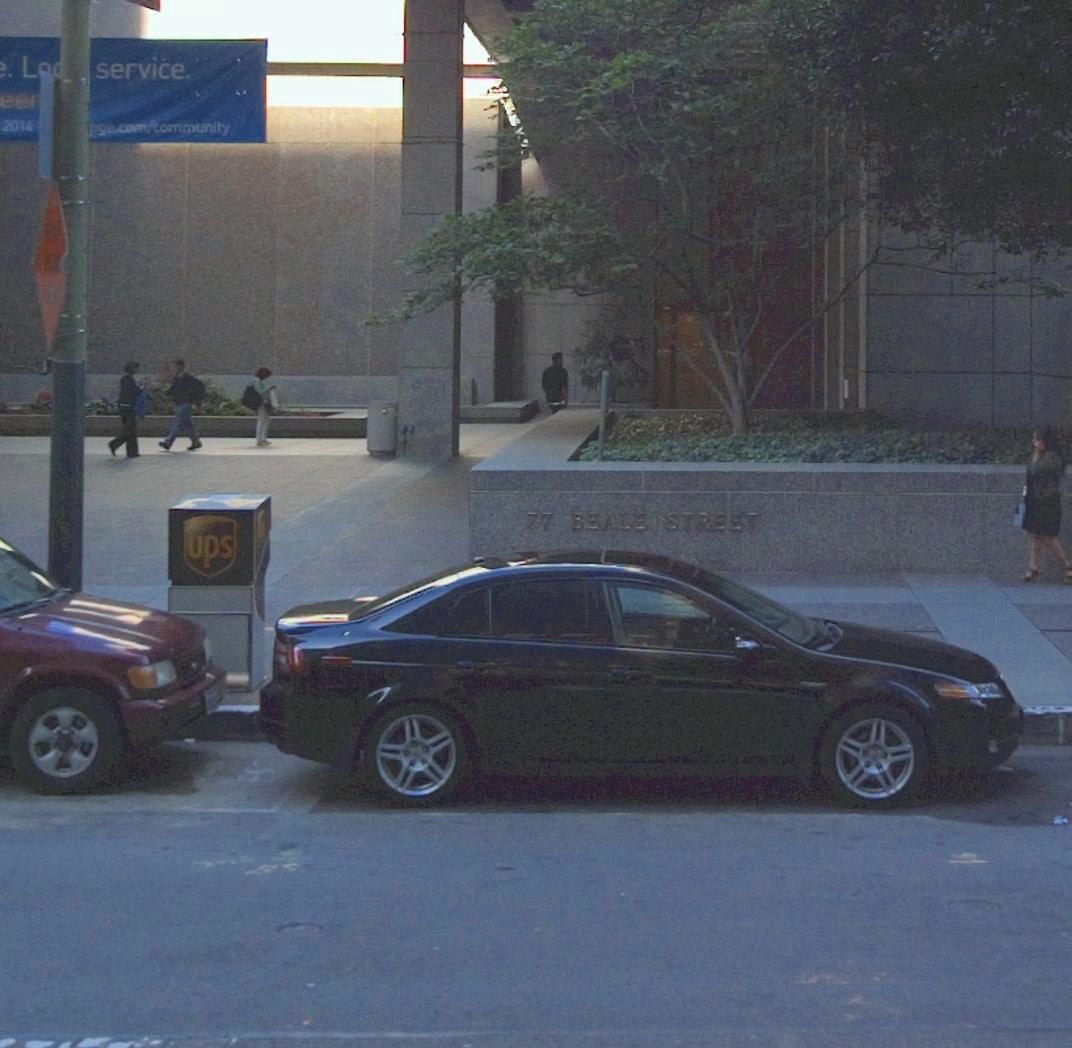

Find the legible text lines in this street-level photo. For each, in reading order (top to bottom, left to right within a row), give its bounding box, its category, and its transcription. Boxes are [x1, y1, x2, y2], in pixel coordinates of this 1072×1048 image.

[22, 55, 39, 80] None: L
[95, 55, 192, 81] None: service.
[1, 93, 40, 111] None: eer
[2, 119, 35, 132] None: 2016
[89, 120, 233, 138] None: pge.com/community
[526, 511, 555, 532] StreetNumber: 77
[571, 511, 760, 532] StreetName: BEALE STREET
[187, 533, 235, 571] None: UPS